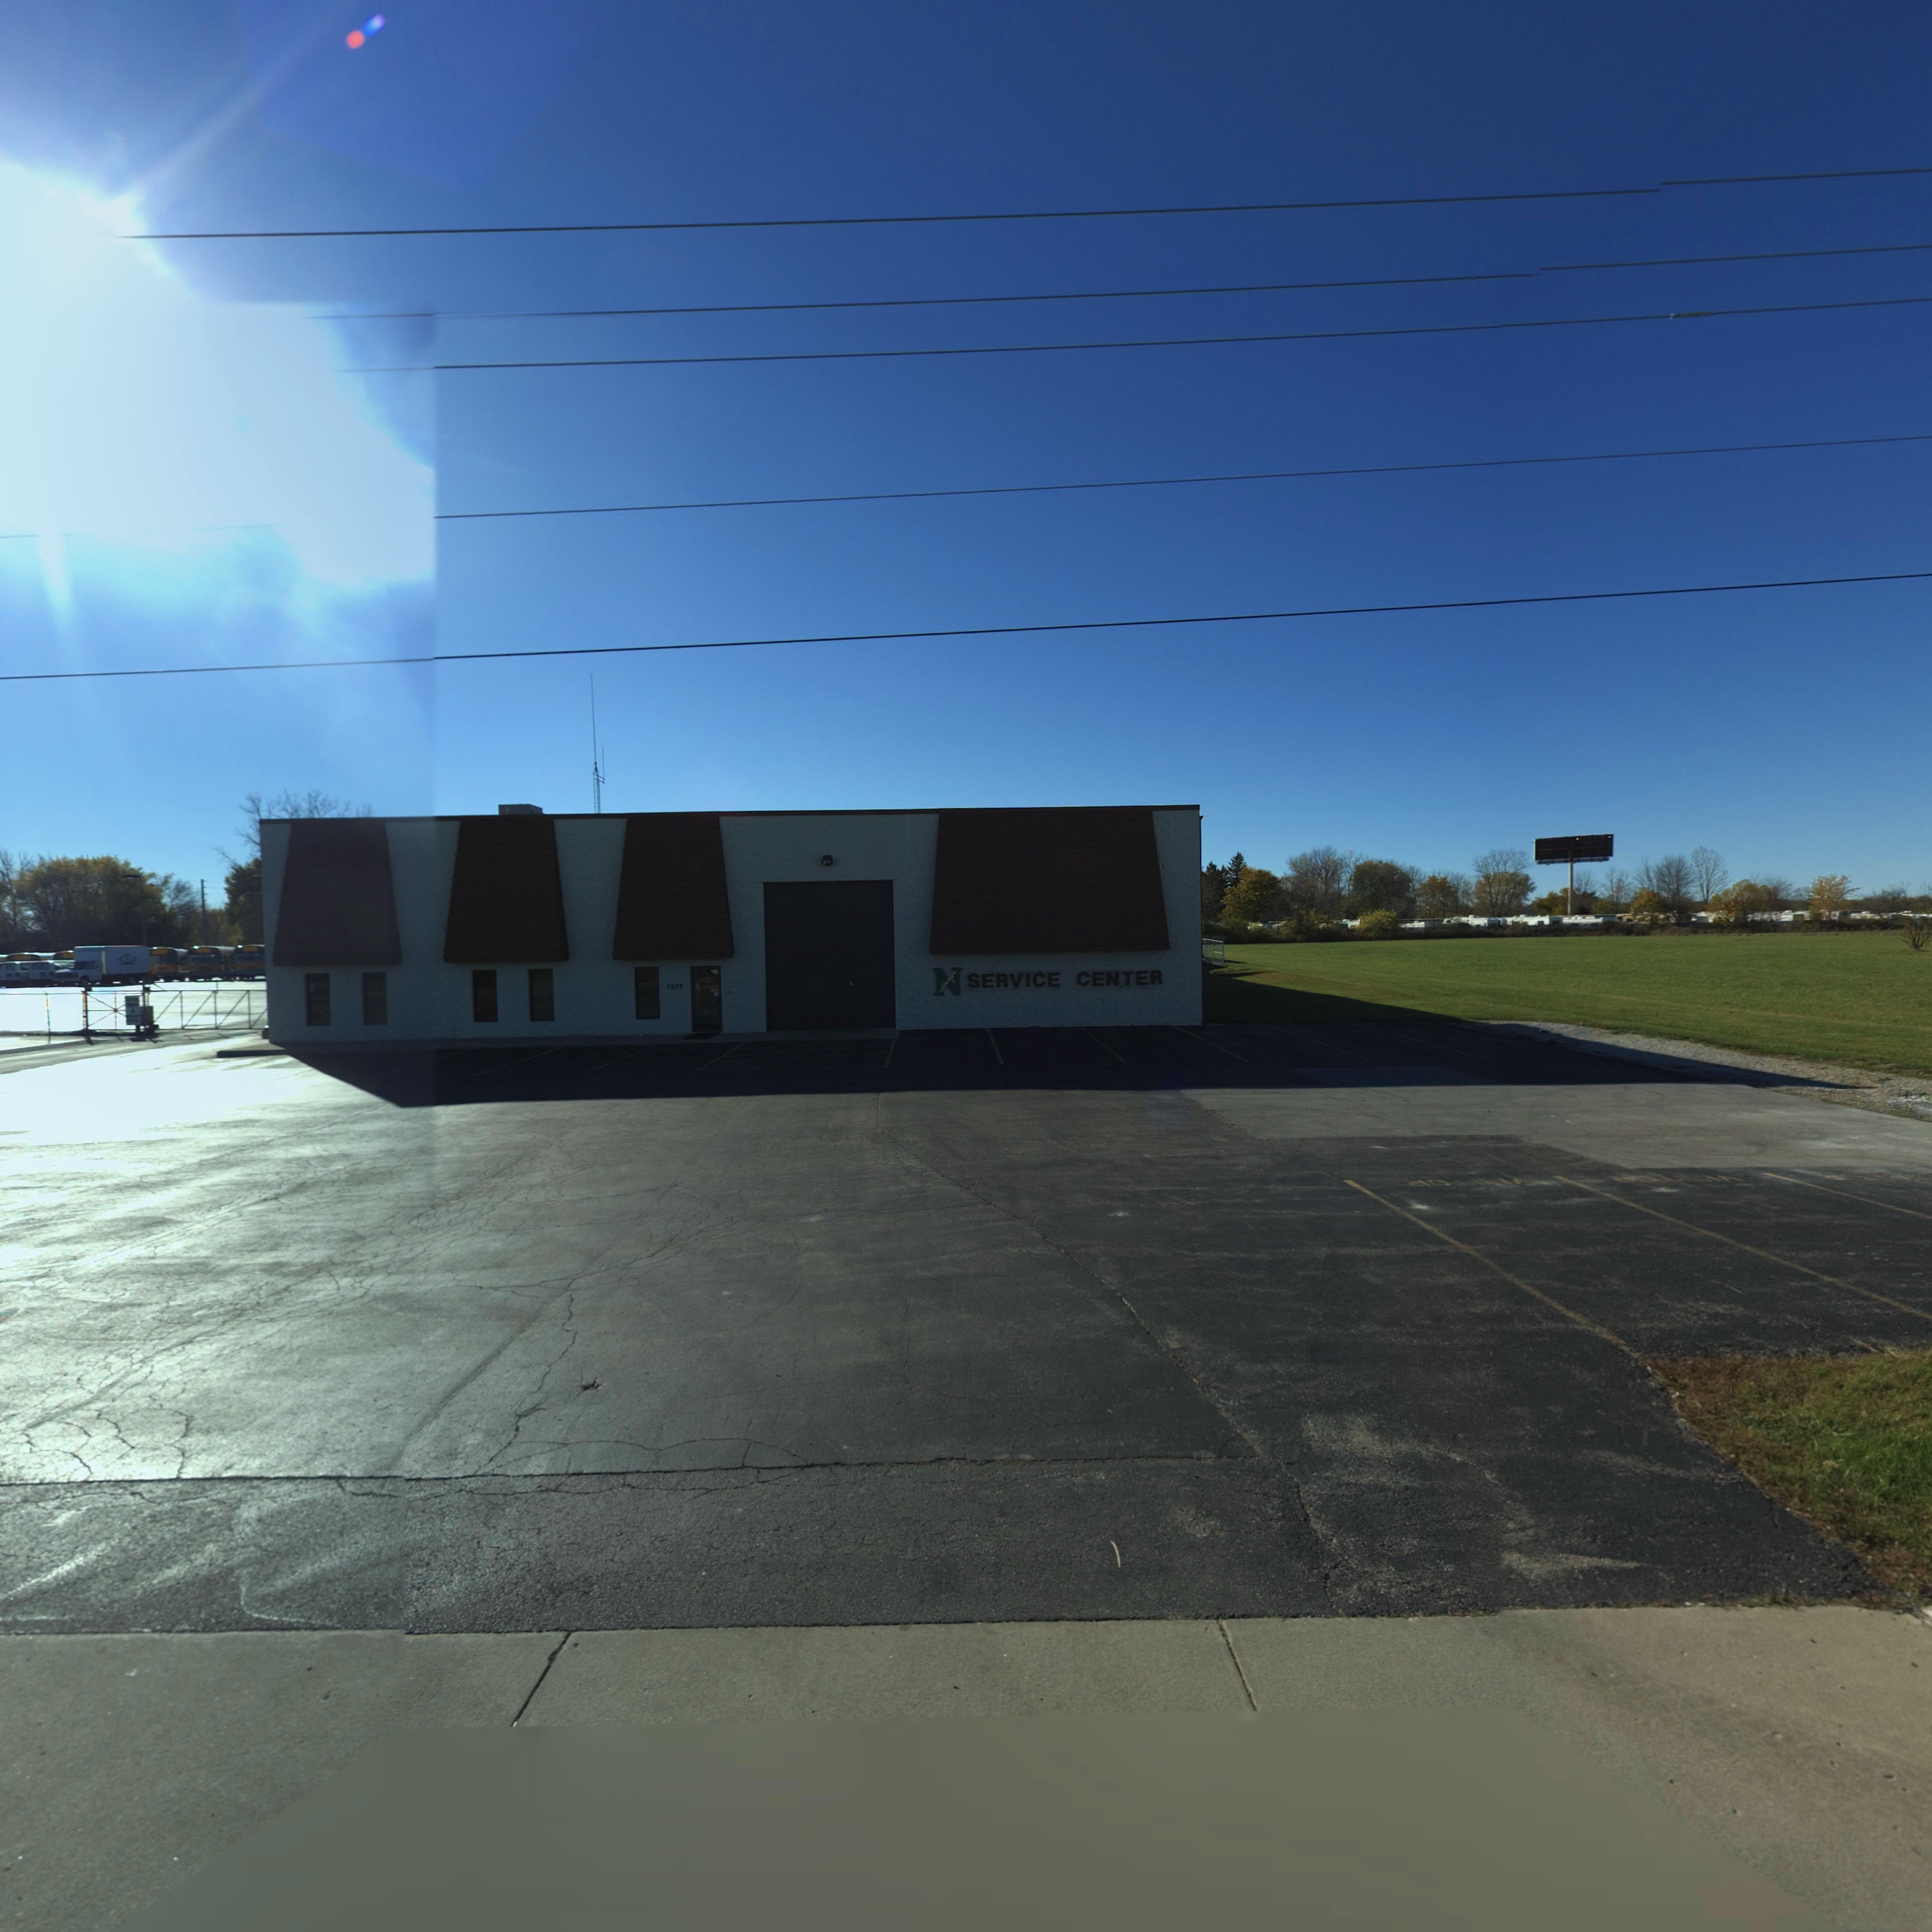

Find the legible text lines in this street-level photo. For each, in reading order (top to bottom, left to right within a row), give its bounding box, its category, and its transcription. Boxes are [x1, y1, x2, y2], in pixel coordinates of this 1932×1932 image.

[667, 983, 683, 989] StreetNumber: 7277